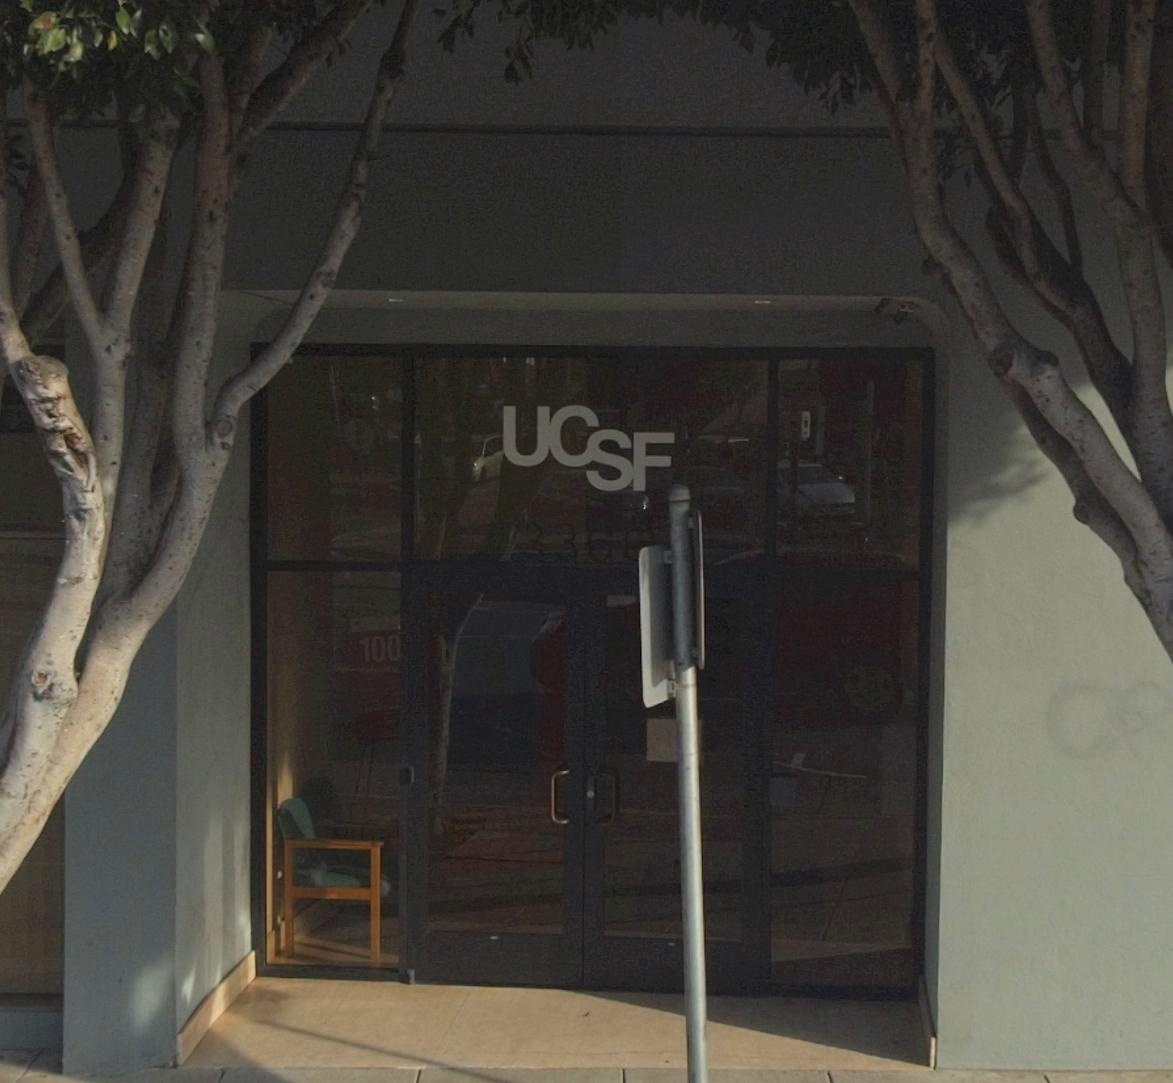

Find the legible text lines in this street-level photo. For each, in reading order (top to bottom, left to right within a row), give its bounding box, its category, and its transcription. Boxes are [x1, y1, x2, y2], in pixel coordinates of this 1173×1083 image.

[497, 399, 679, 498] None: UCSF
[515, 518, 652, 568] StreetNumber: 336*
[356, 631, 403, 667] None: 100